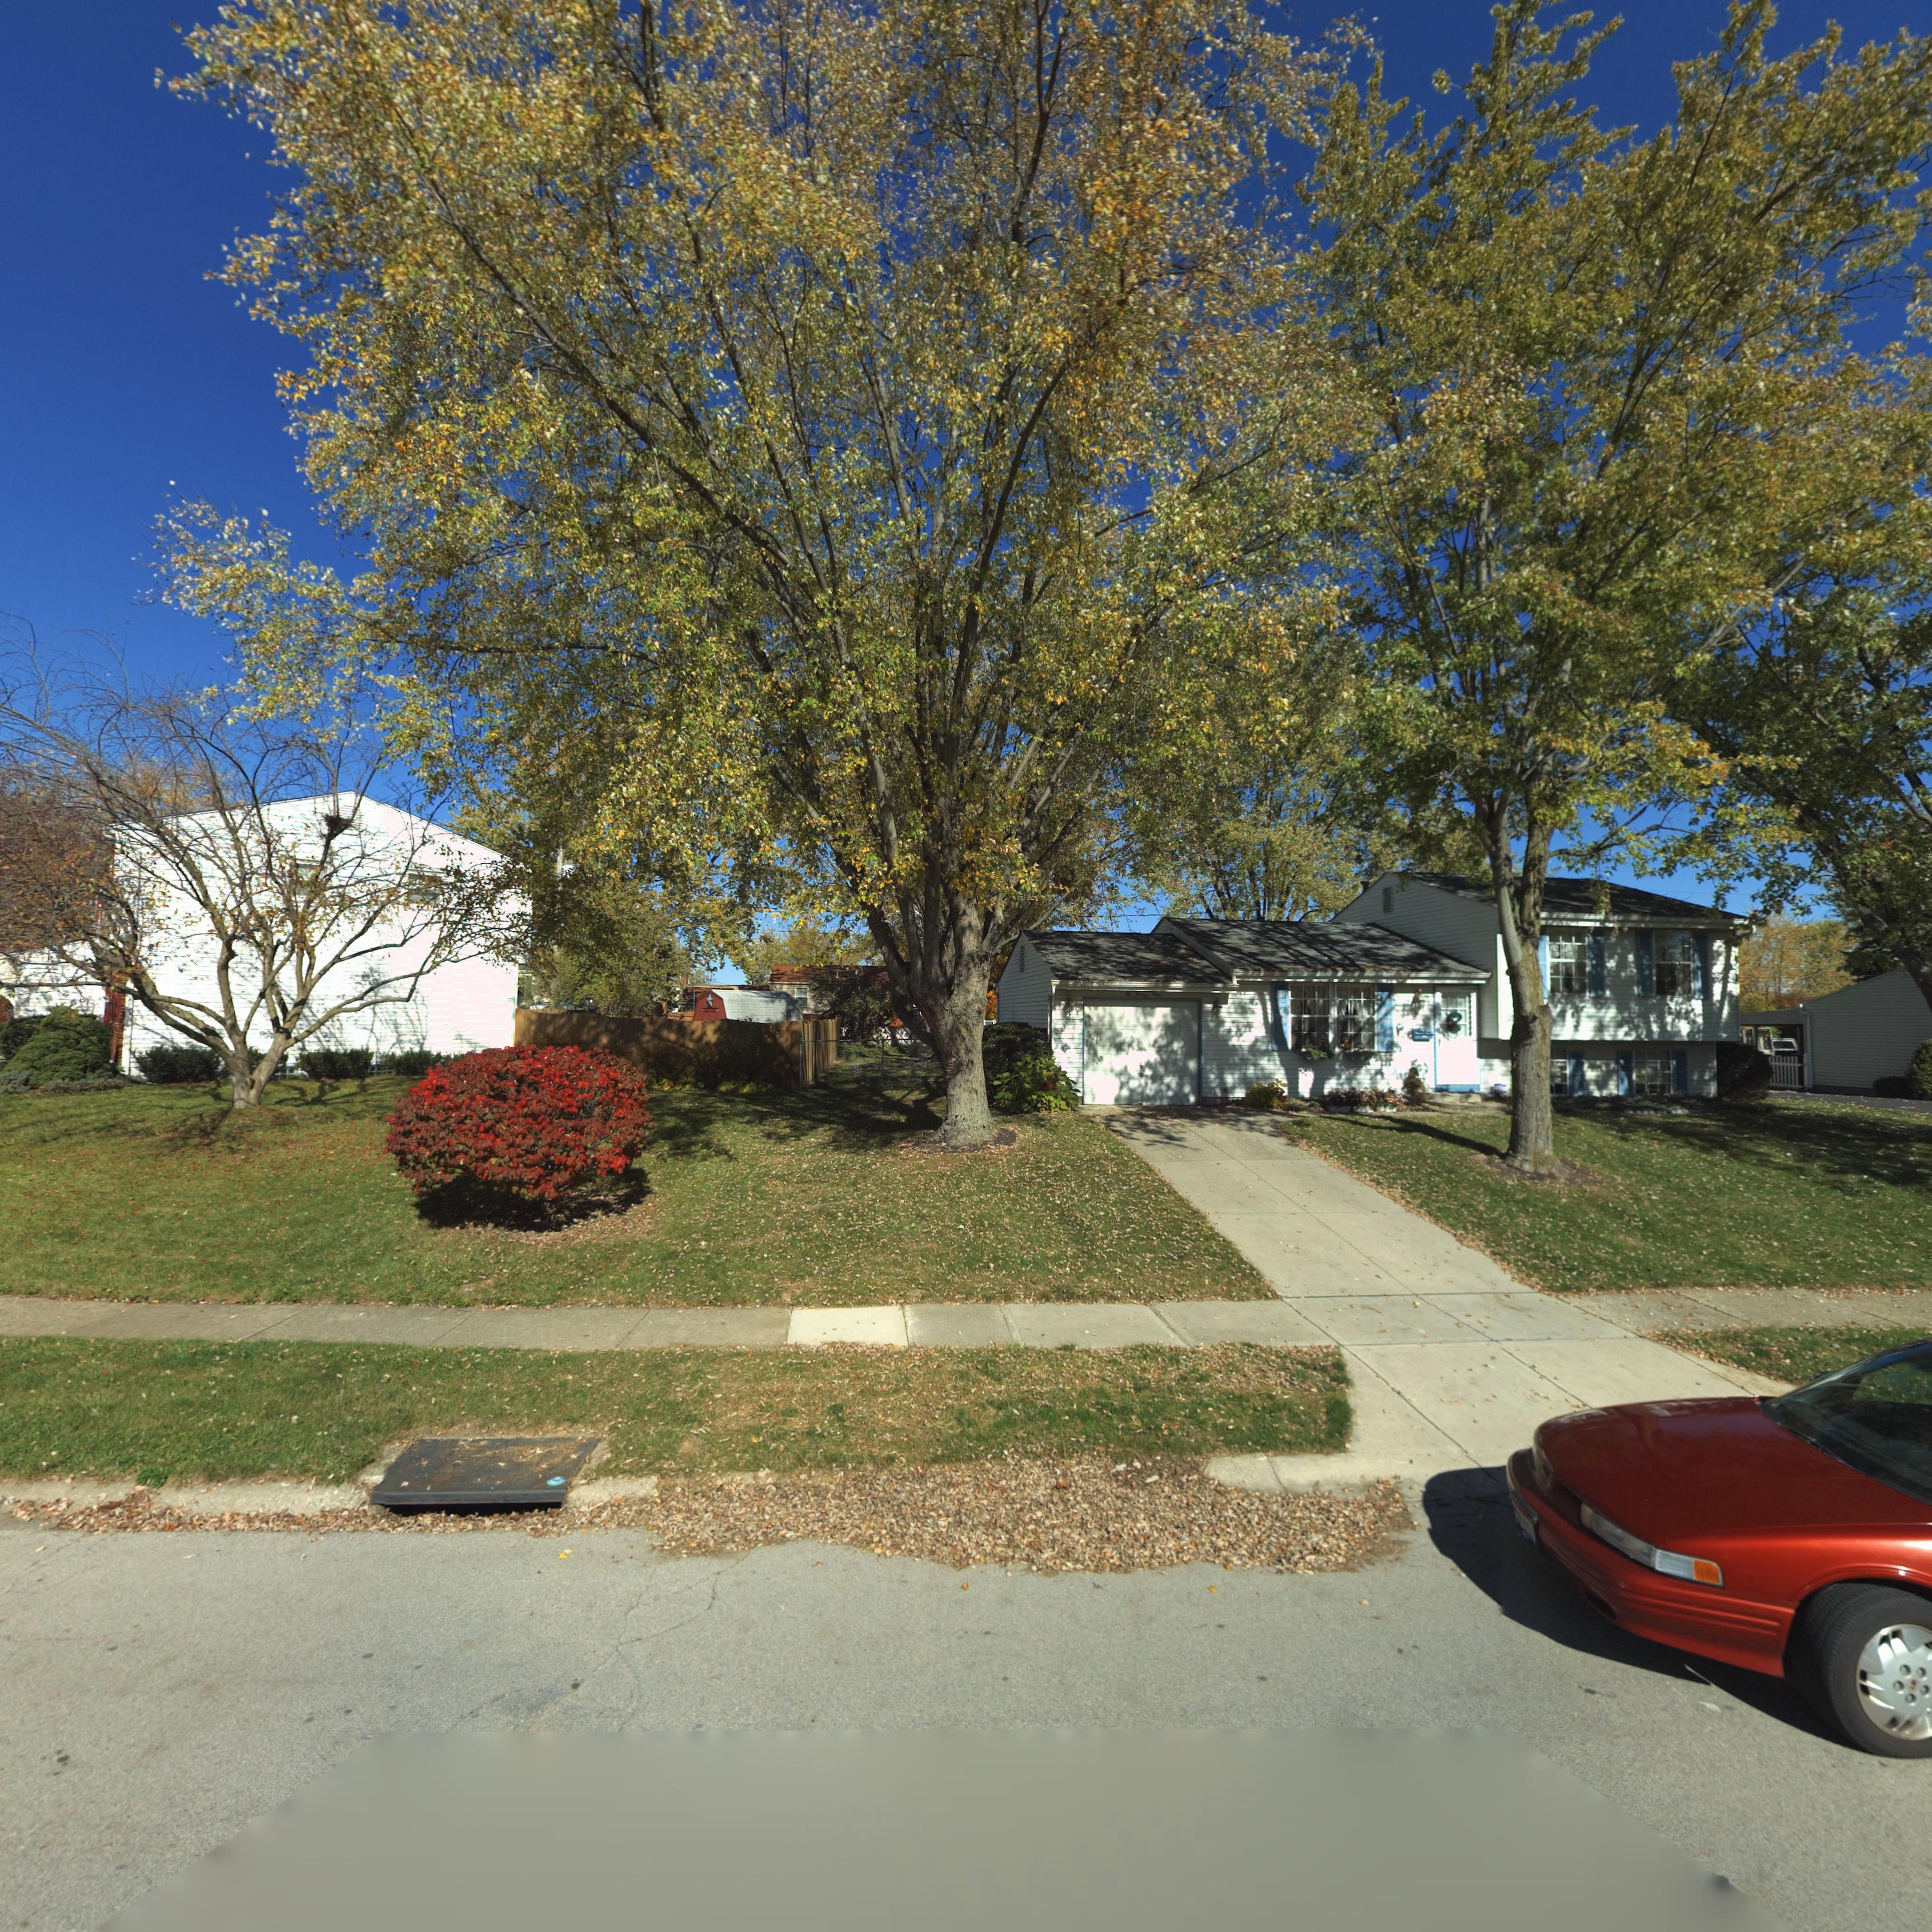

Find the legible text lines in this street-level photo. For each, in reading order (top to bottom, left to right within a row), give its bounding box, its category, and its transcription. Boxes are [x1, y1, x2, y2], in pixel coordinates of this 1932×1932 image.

[1124, 991, 1130, 996] StreetNumber: T
[1133, 991, 1140, 996] StreetNumber: T